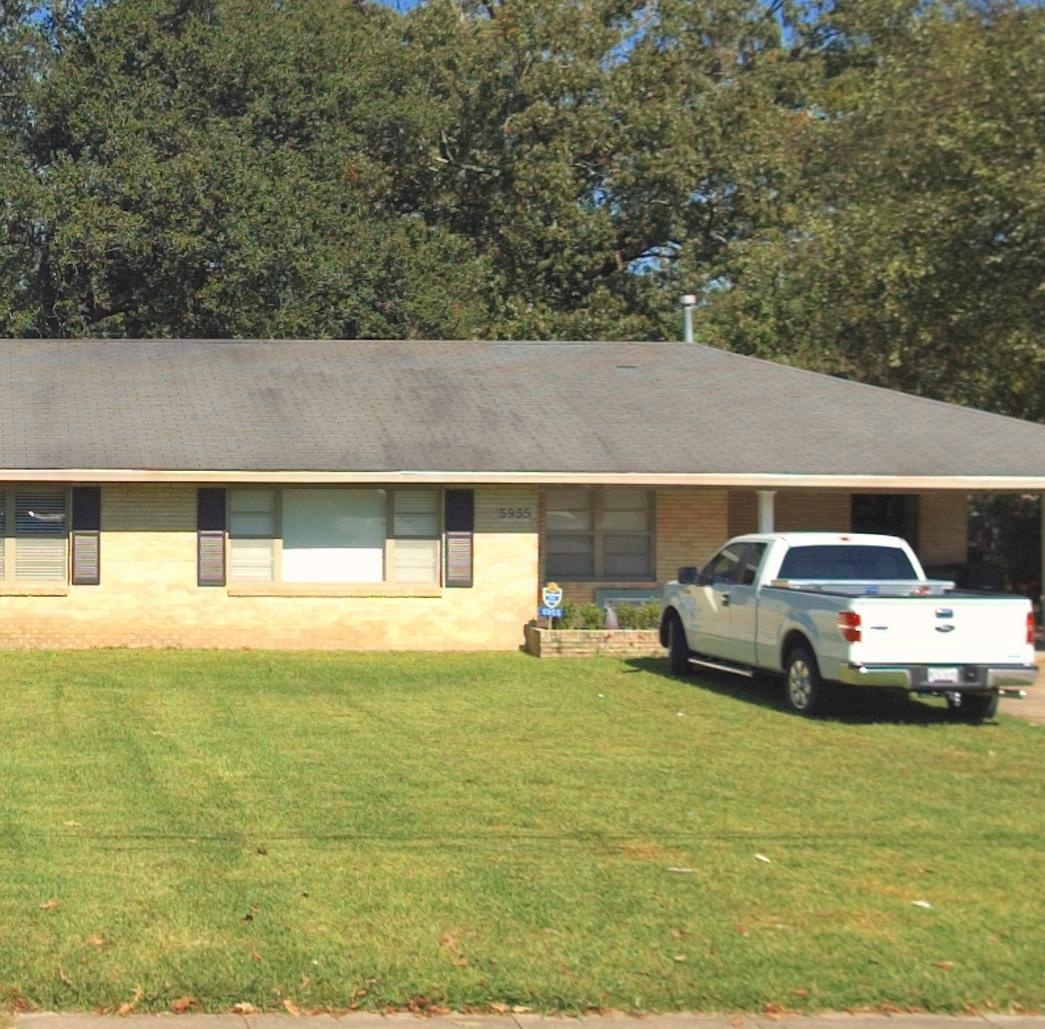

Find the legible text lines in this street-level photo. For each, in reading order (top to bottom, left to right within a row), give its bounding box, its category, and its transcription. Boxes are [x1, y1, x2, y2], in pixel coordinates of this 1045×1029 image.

[498, 506, 533, 521] StreetNumber: 5955